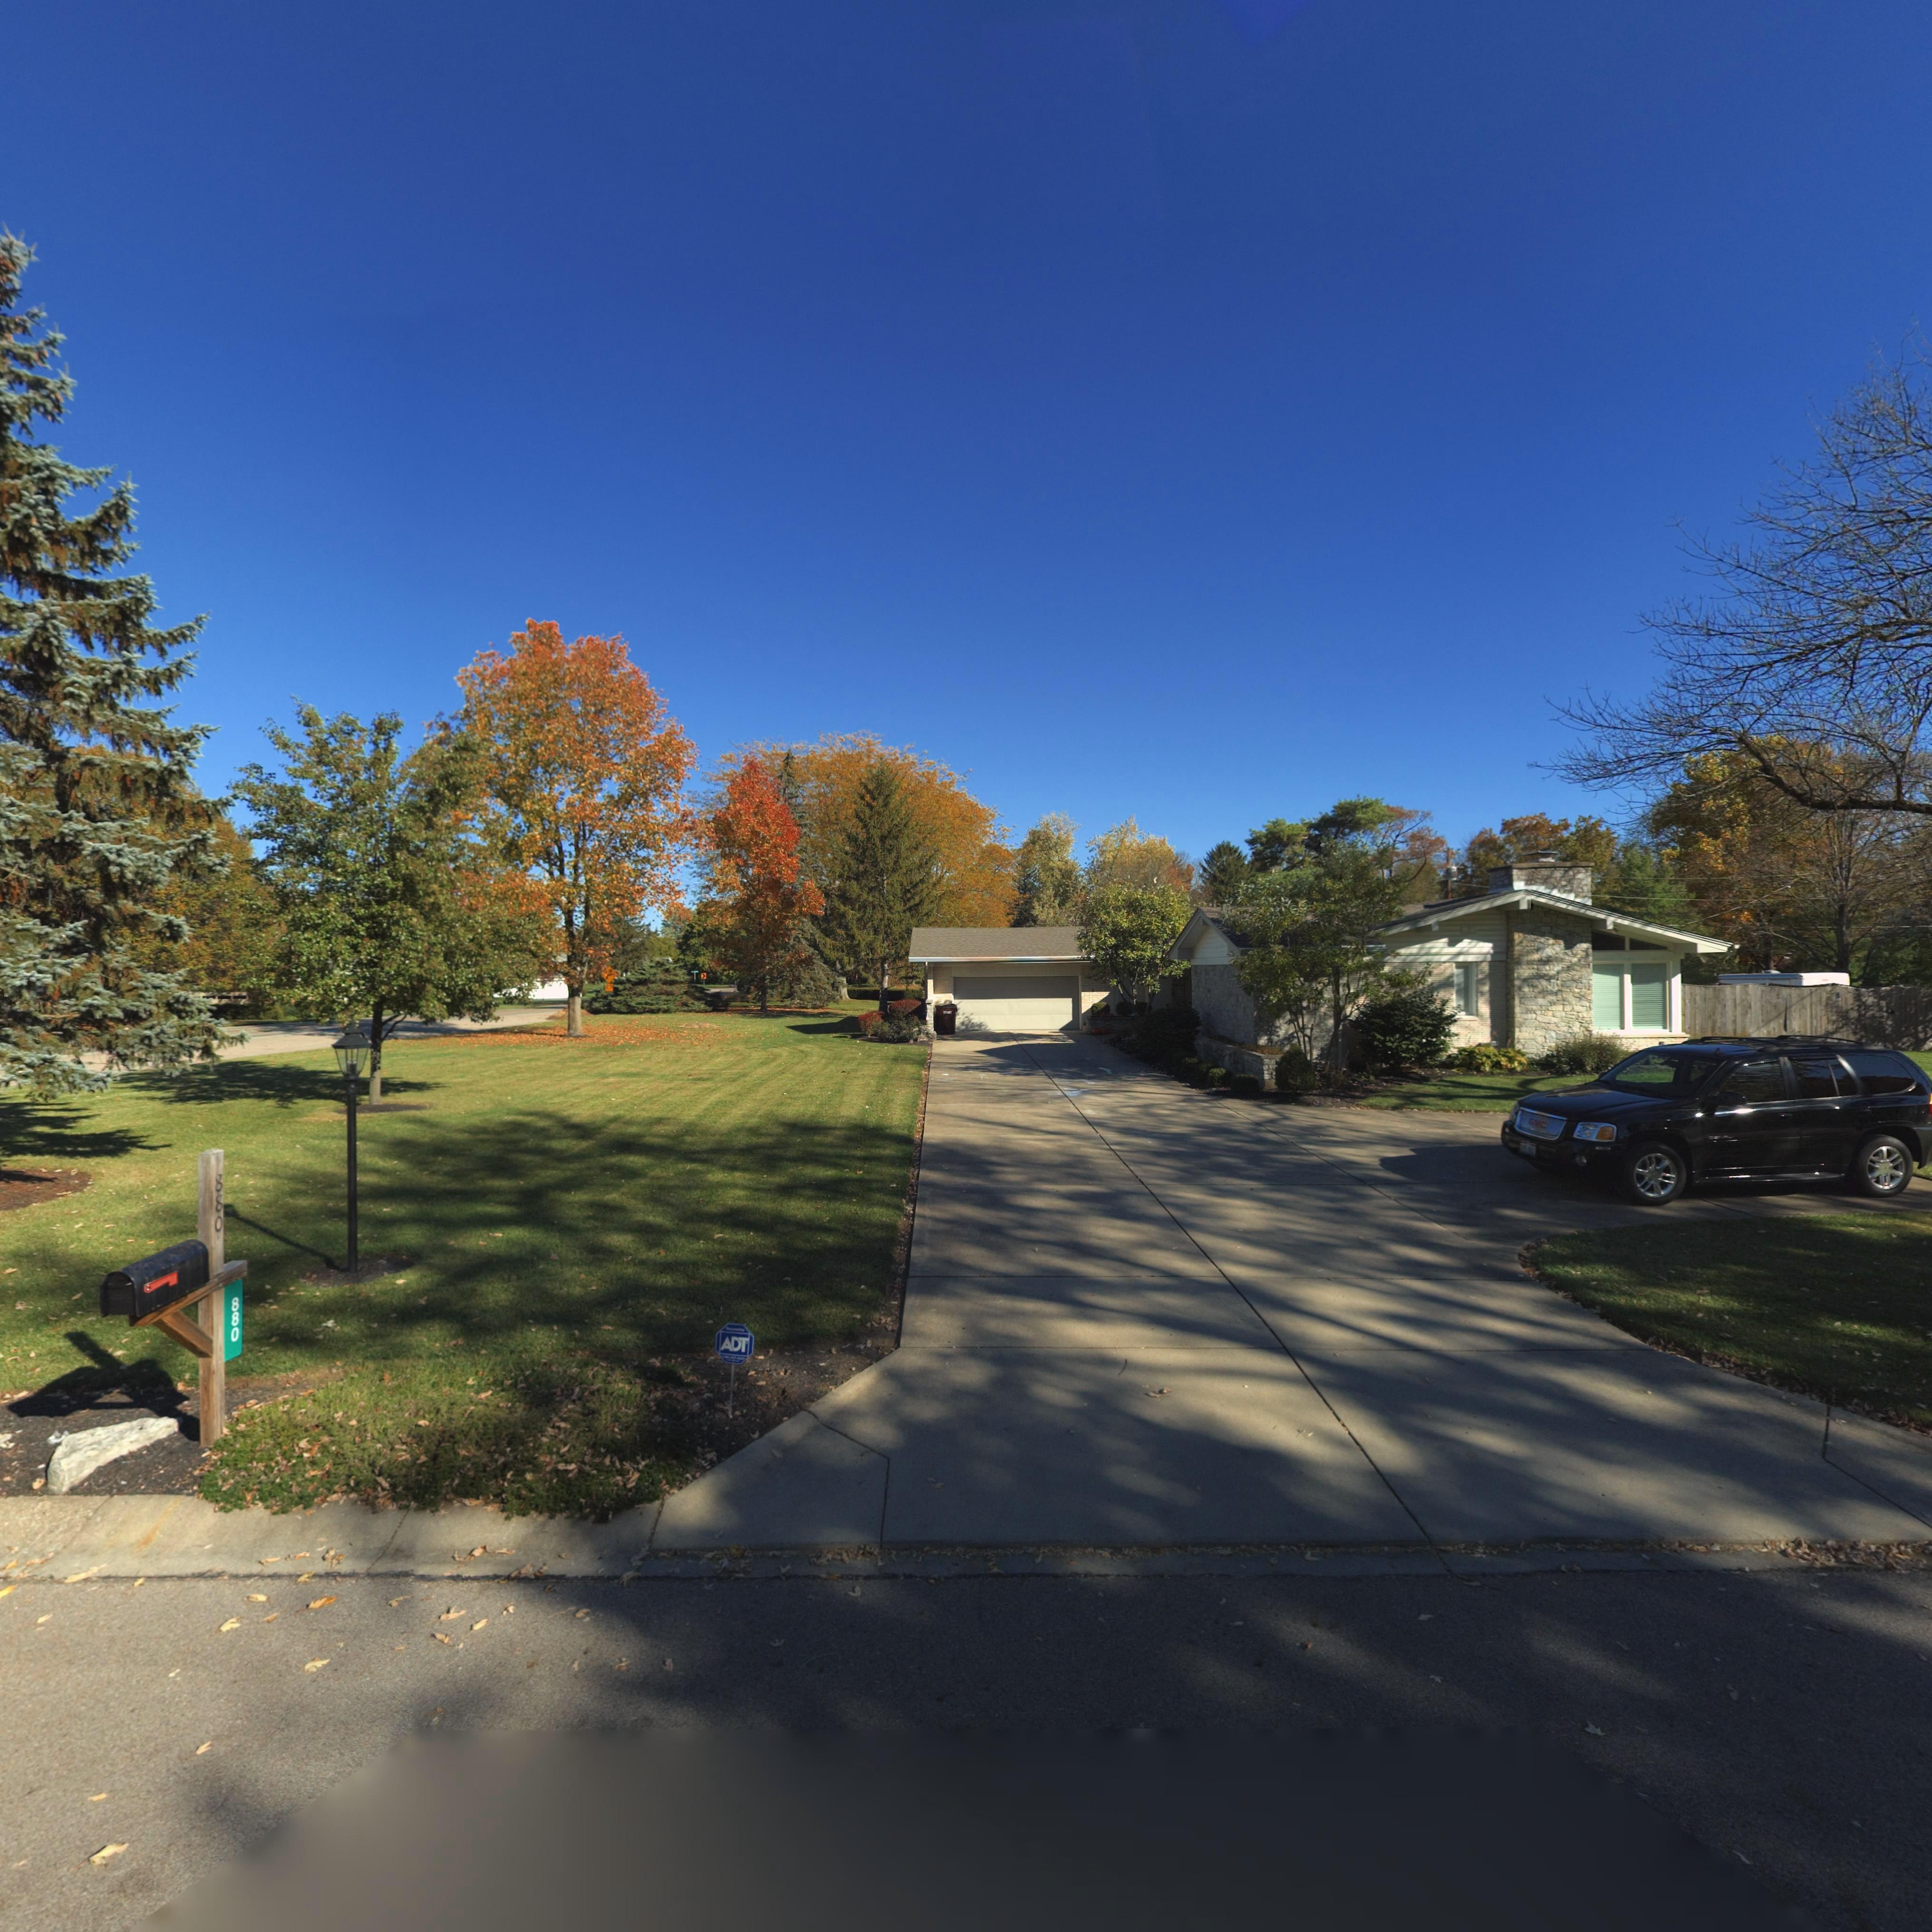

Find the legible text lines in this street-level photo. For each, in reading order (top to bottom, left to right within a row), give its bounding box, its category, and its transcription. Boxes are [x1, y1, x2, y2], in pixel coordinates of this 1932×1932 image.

[214, 1172, 224, 1233] StreetNumber: 880
[230, 1295, 241, 1343] StreetNumber: 880
[719, 1335, 750, 1353] StreetNumber: ADT